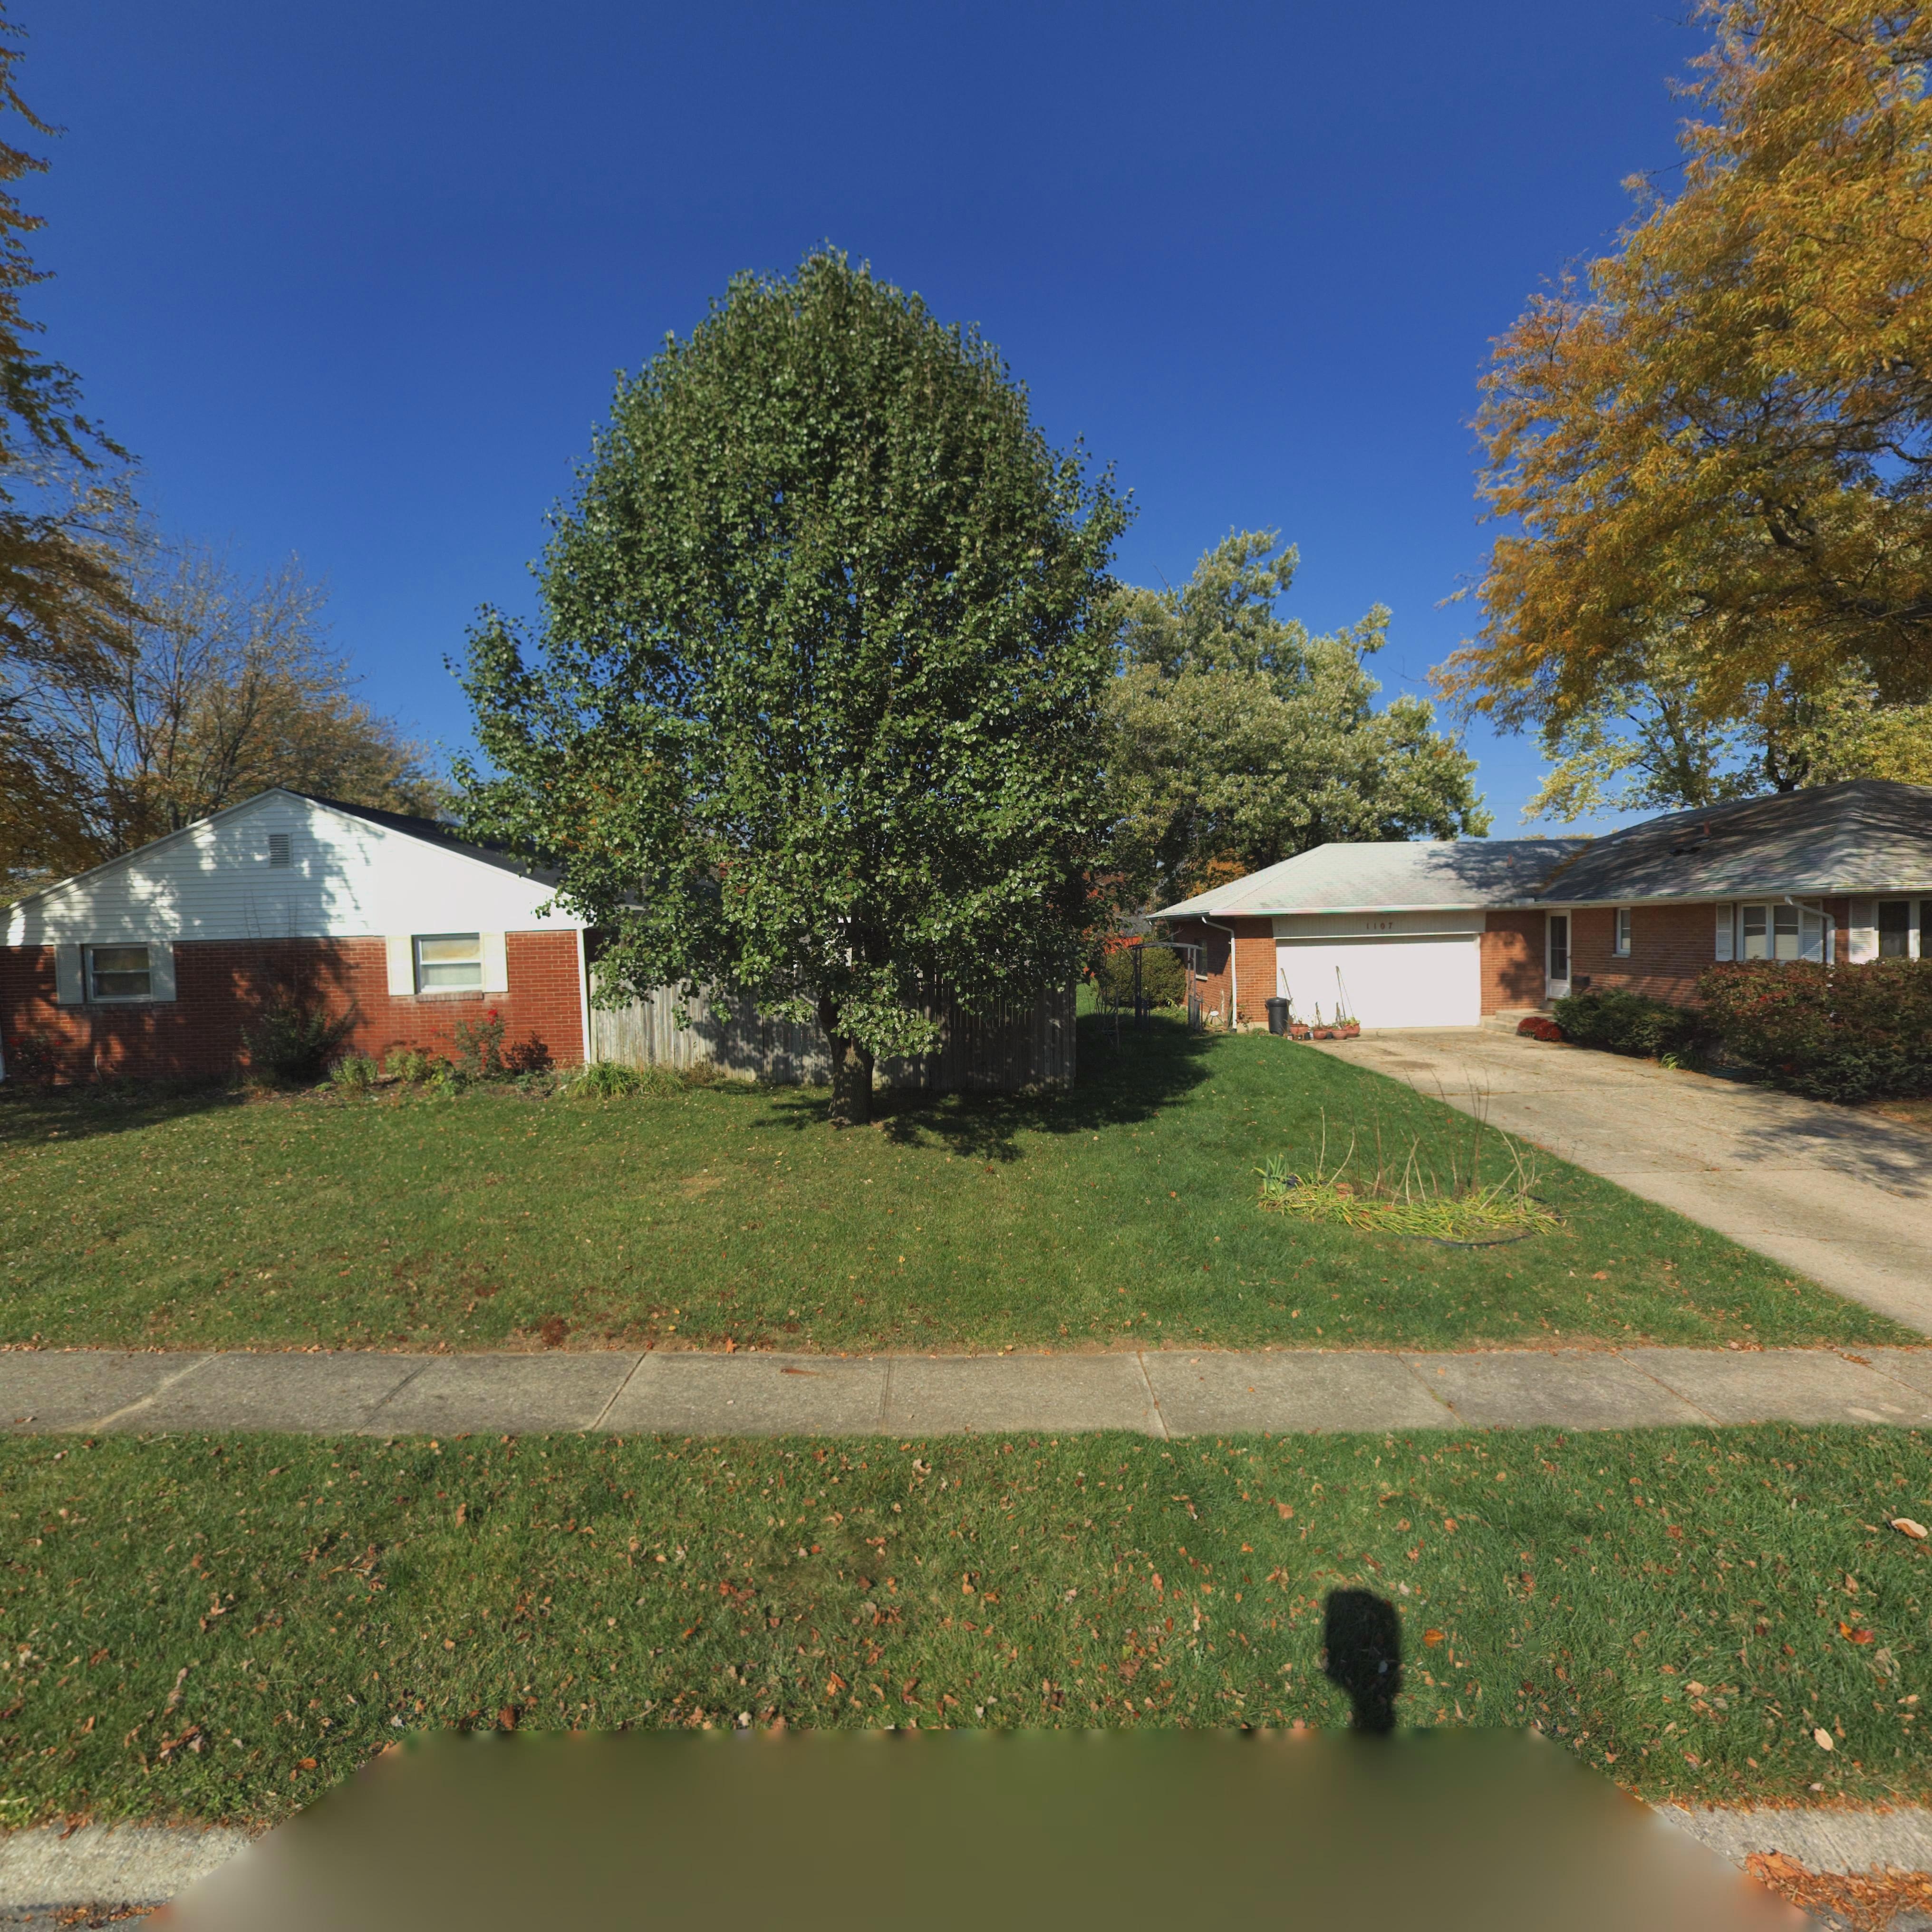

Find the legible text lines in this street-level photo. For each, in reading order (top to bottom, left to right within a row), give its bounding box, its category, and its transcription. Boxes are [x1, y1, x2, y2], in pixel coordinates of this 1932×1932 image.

[1365, 921, 1394, 931] StreetNumber: 1107